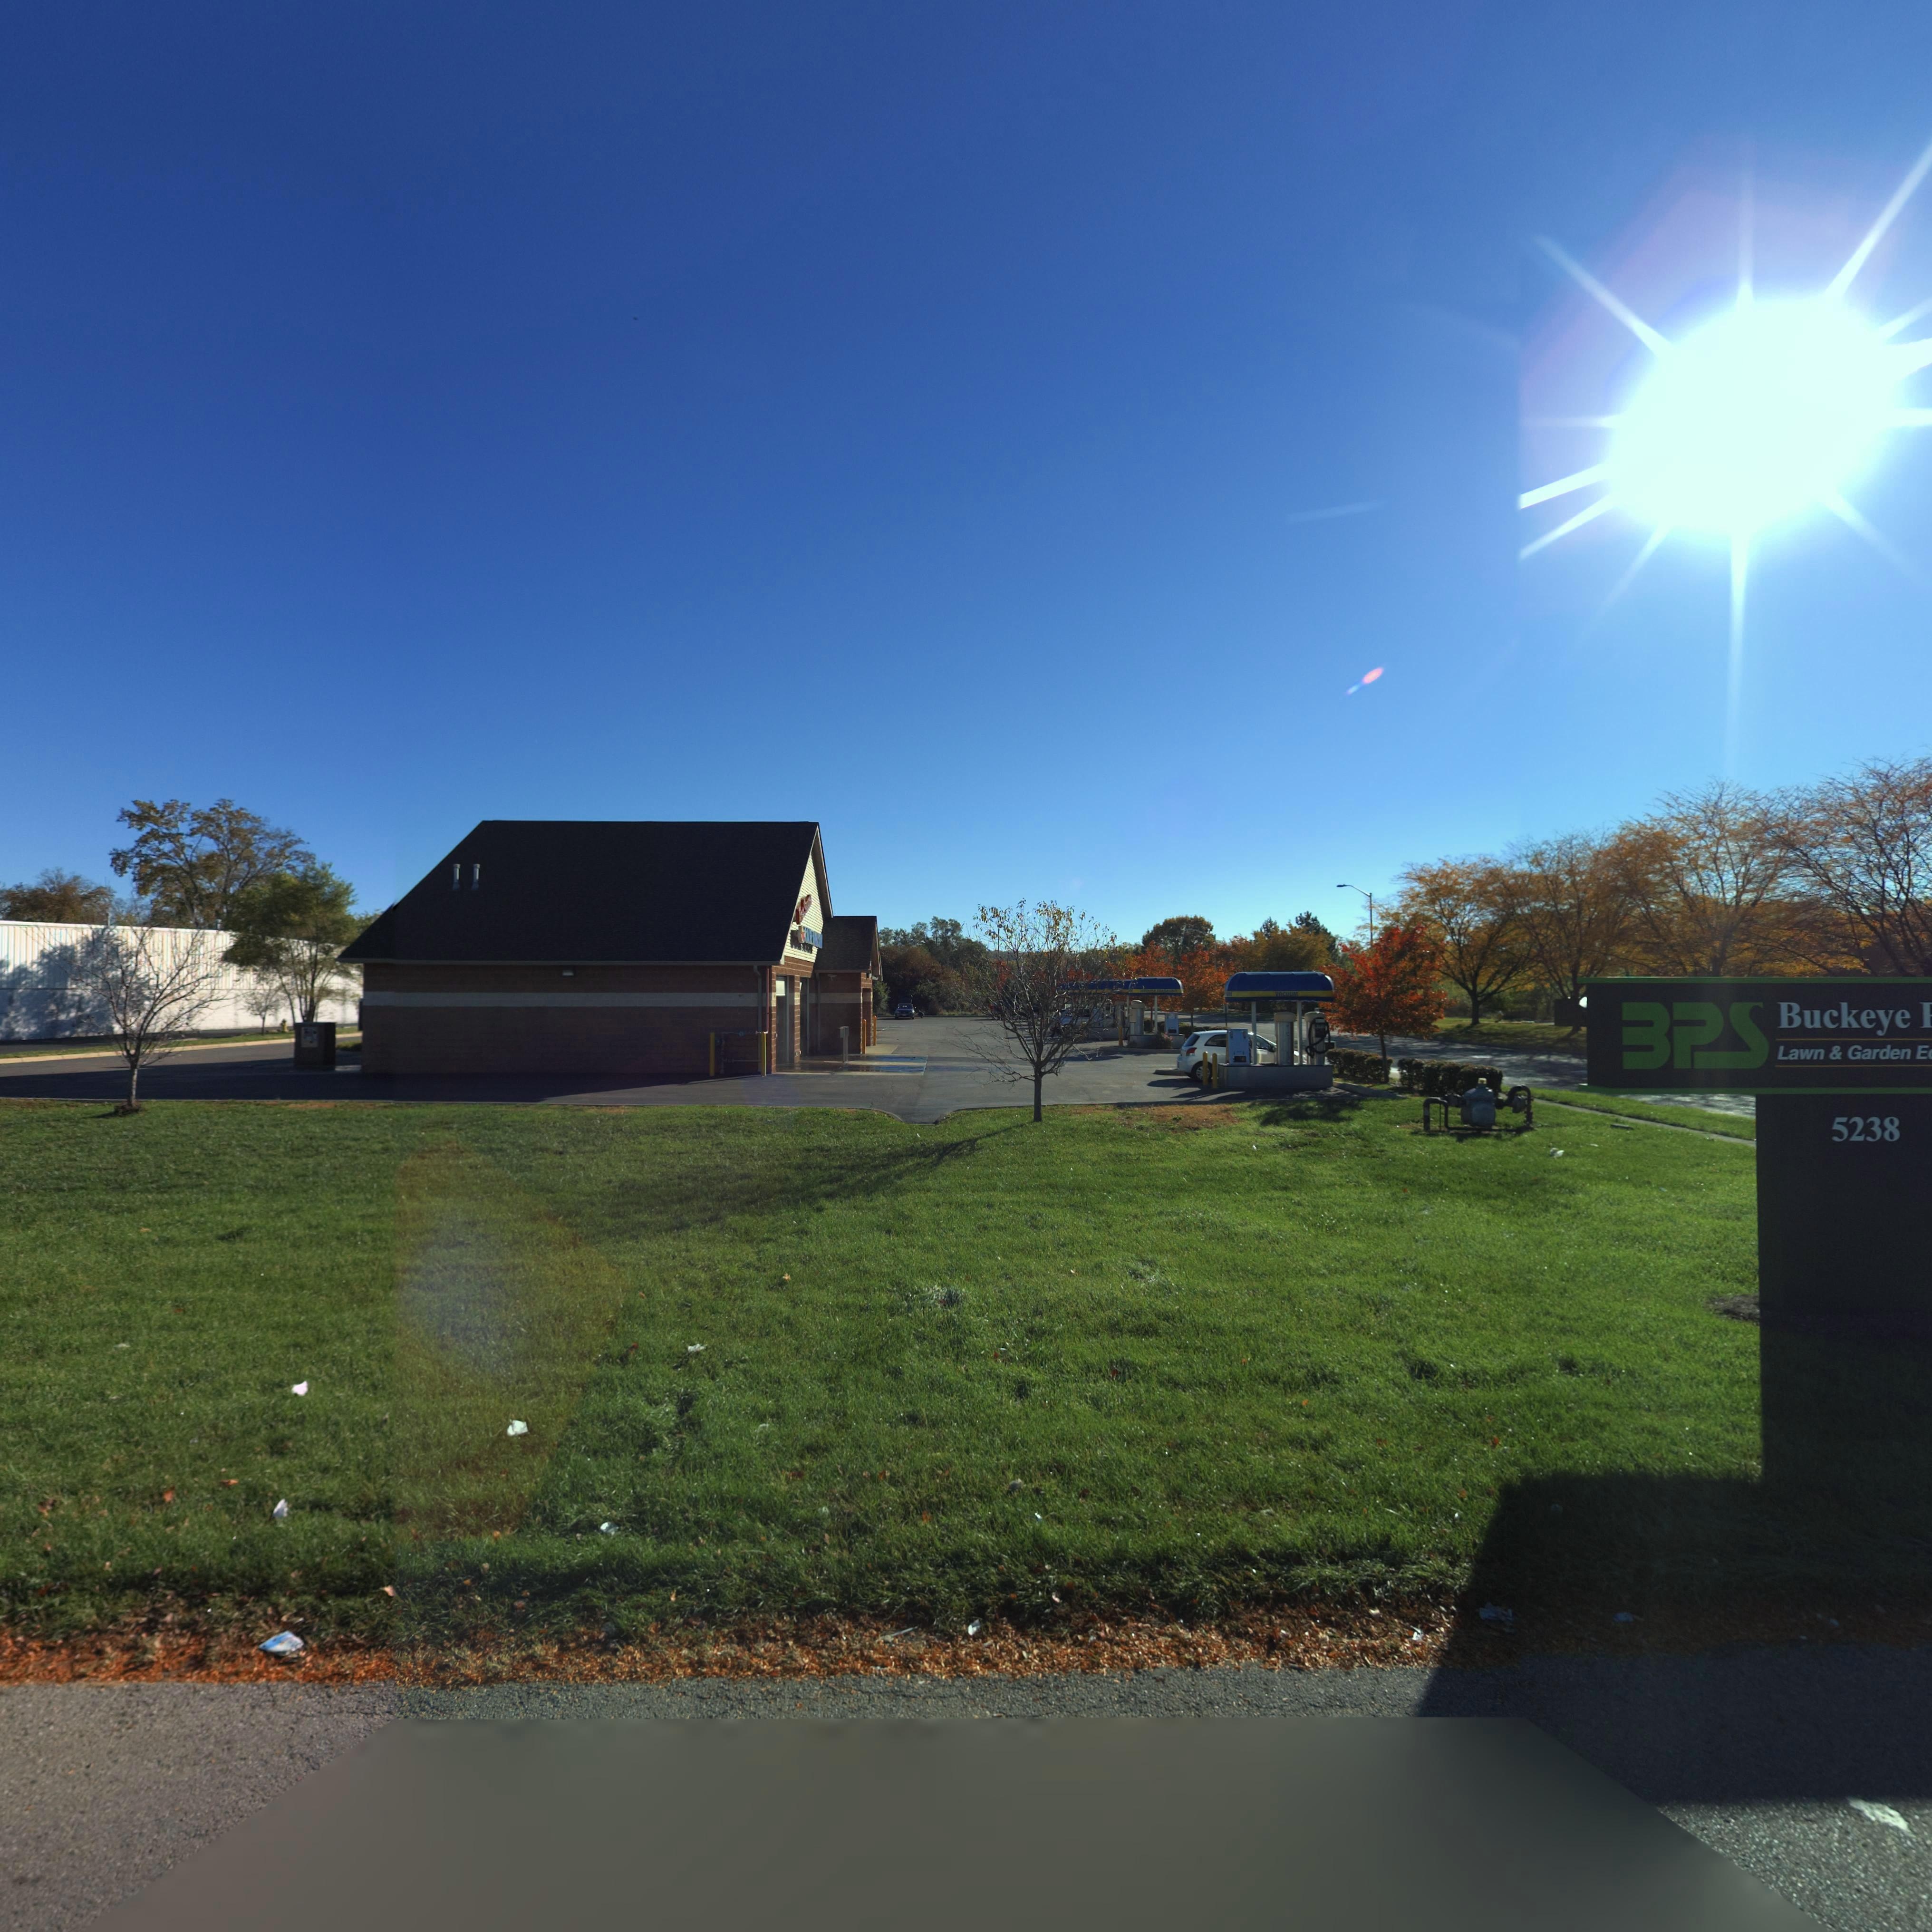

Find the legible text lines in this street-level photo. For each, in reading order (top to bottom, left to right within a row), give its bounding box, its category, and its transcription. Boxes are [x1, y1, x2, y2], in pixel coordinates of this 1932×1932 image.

[1828, 1114, 1903, 1144] StreetNumber: 5238